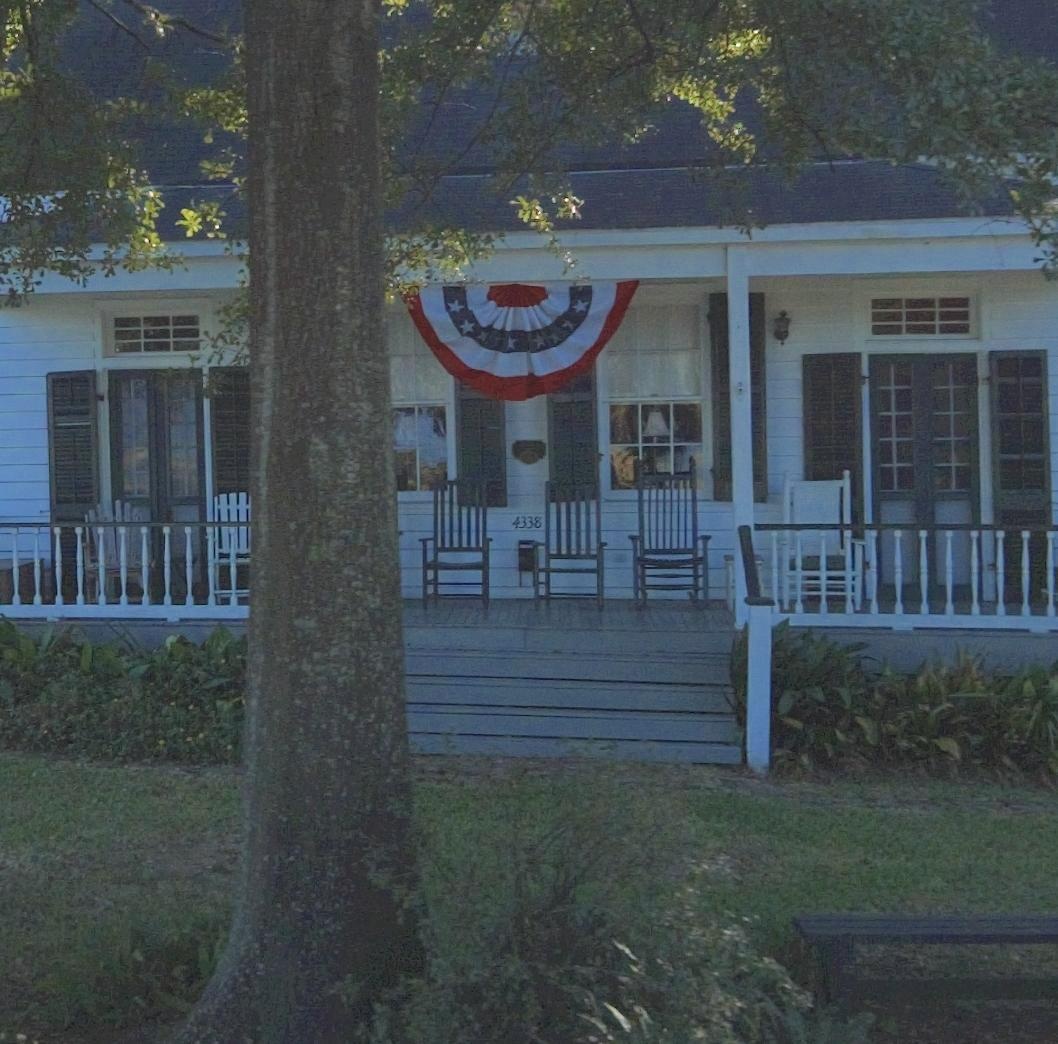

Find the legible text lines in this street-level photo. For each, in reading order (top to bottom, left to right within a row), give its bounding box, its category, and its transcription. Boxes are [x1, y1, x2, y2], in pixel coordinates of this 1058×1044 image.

[509, 514, 544, 531] StreetNumber: 4338